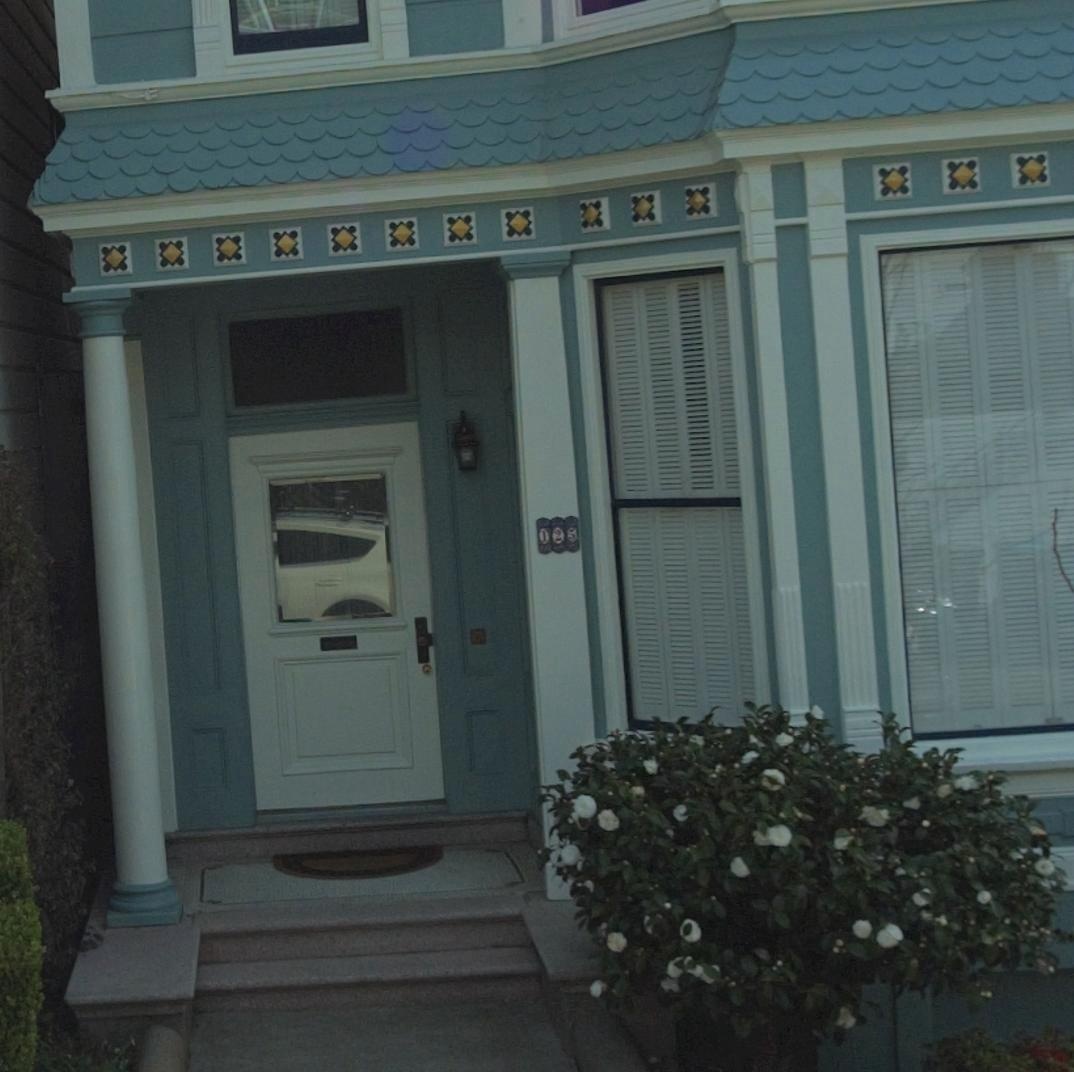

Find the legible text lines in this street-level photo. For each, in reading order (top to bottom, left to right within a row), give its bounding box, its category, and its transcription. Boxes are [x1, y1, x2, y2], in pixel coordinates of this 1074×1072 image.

[539, 527, 577, 544] StreetNumber: 125